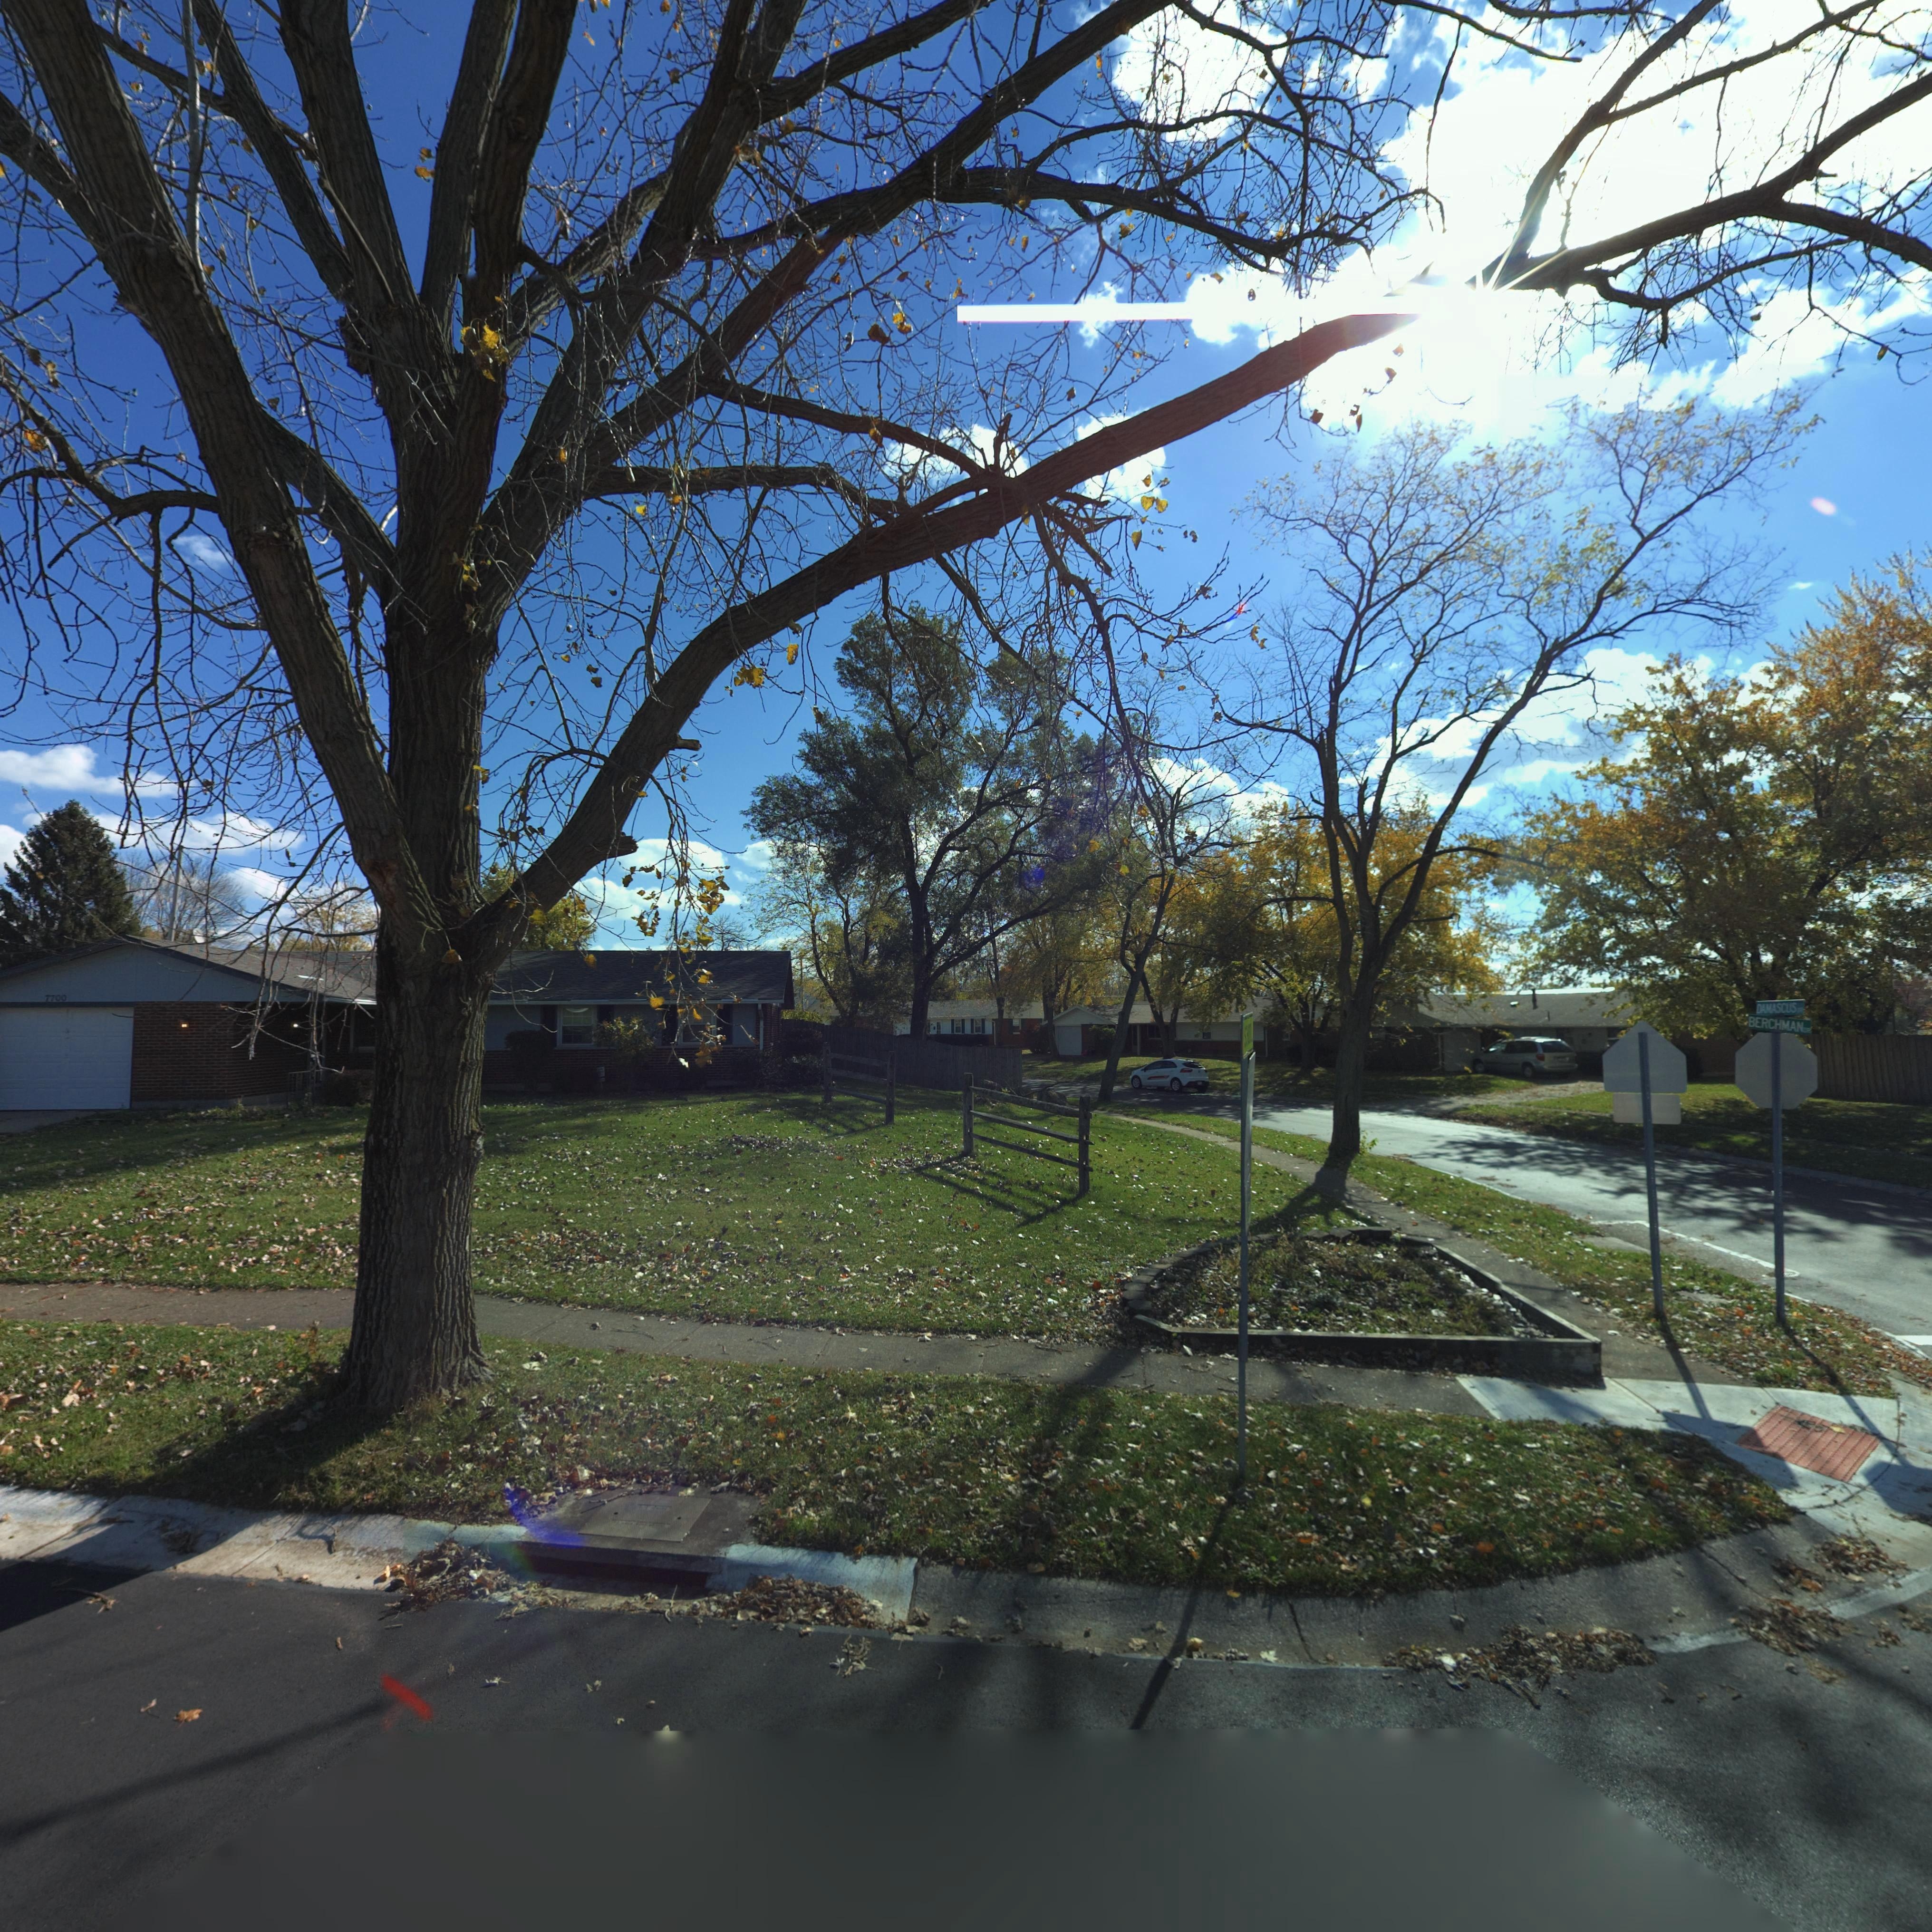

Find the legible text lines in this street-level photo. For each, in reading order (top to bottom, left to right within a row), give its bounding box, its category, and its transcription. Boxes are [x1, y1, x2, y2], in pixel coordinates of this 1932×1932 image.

[45, 994, 68, 1002] StreetNumber: 7700